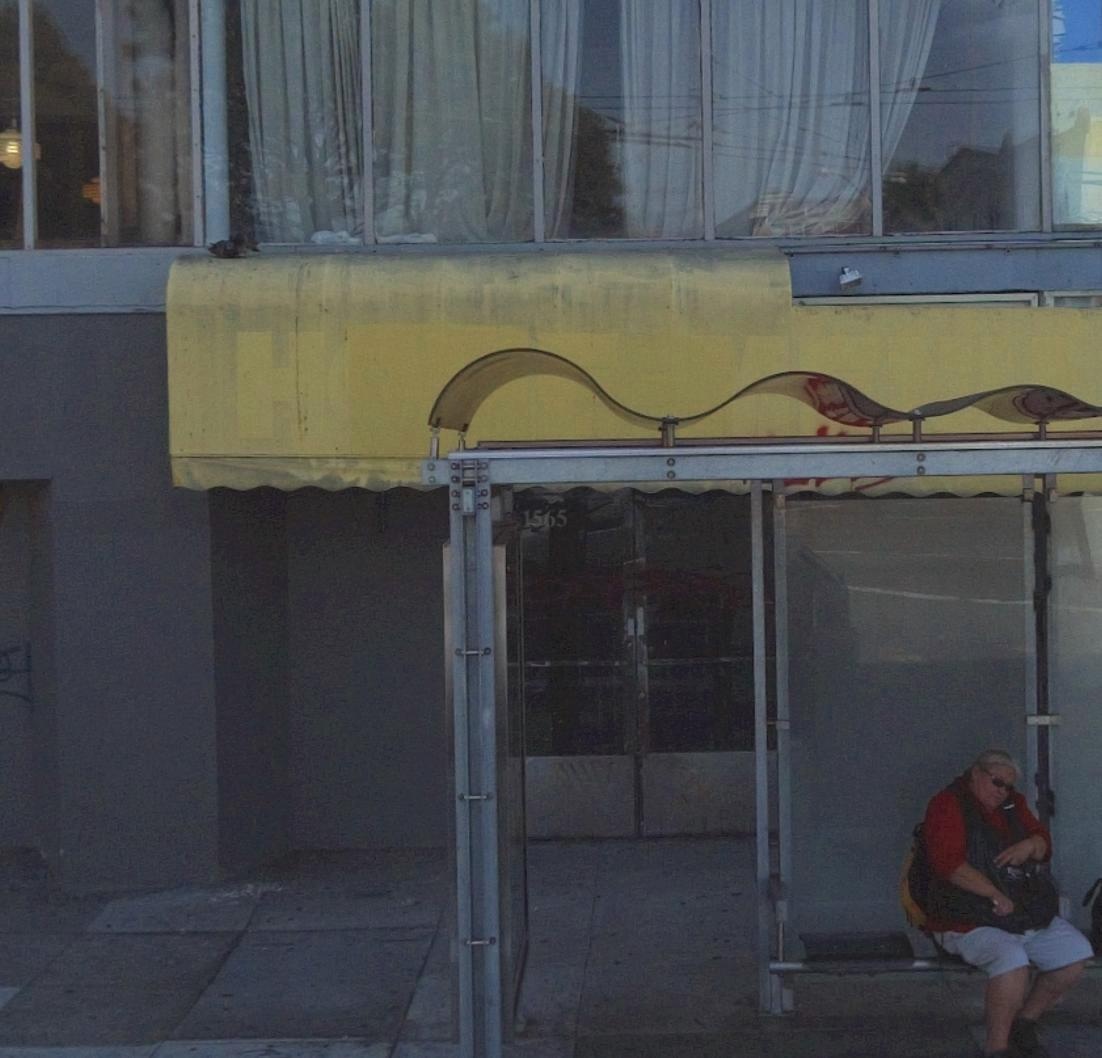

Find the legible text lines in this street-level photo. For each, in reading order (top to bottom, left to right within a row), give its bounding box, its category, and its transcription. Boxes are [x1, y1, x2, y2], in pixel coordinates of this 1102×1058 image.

[231, 327, 331, 441] None: H
[522, 508, 568, 528] StreetNumber: 1565